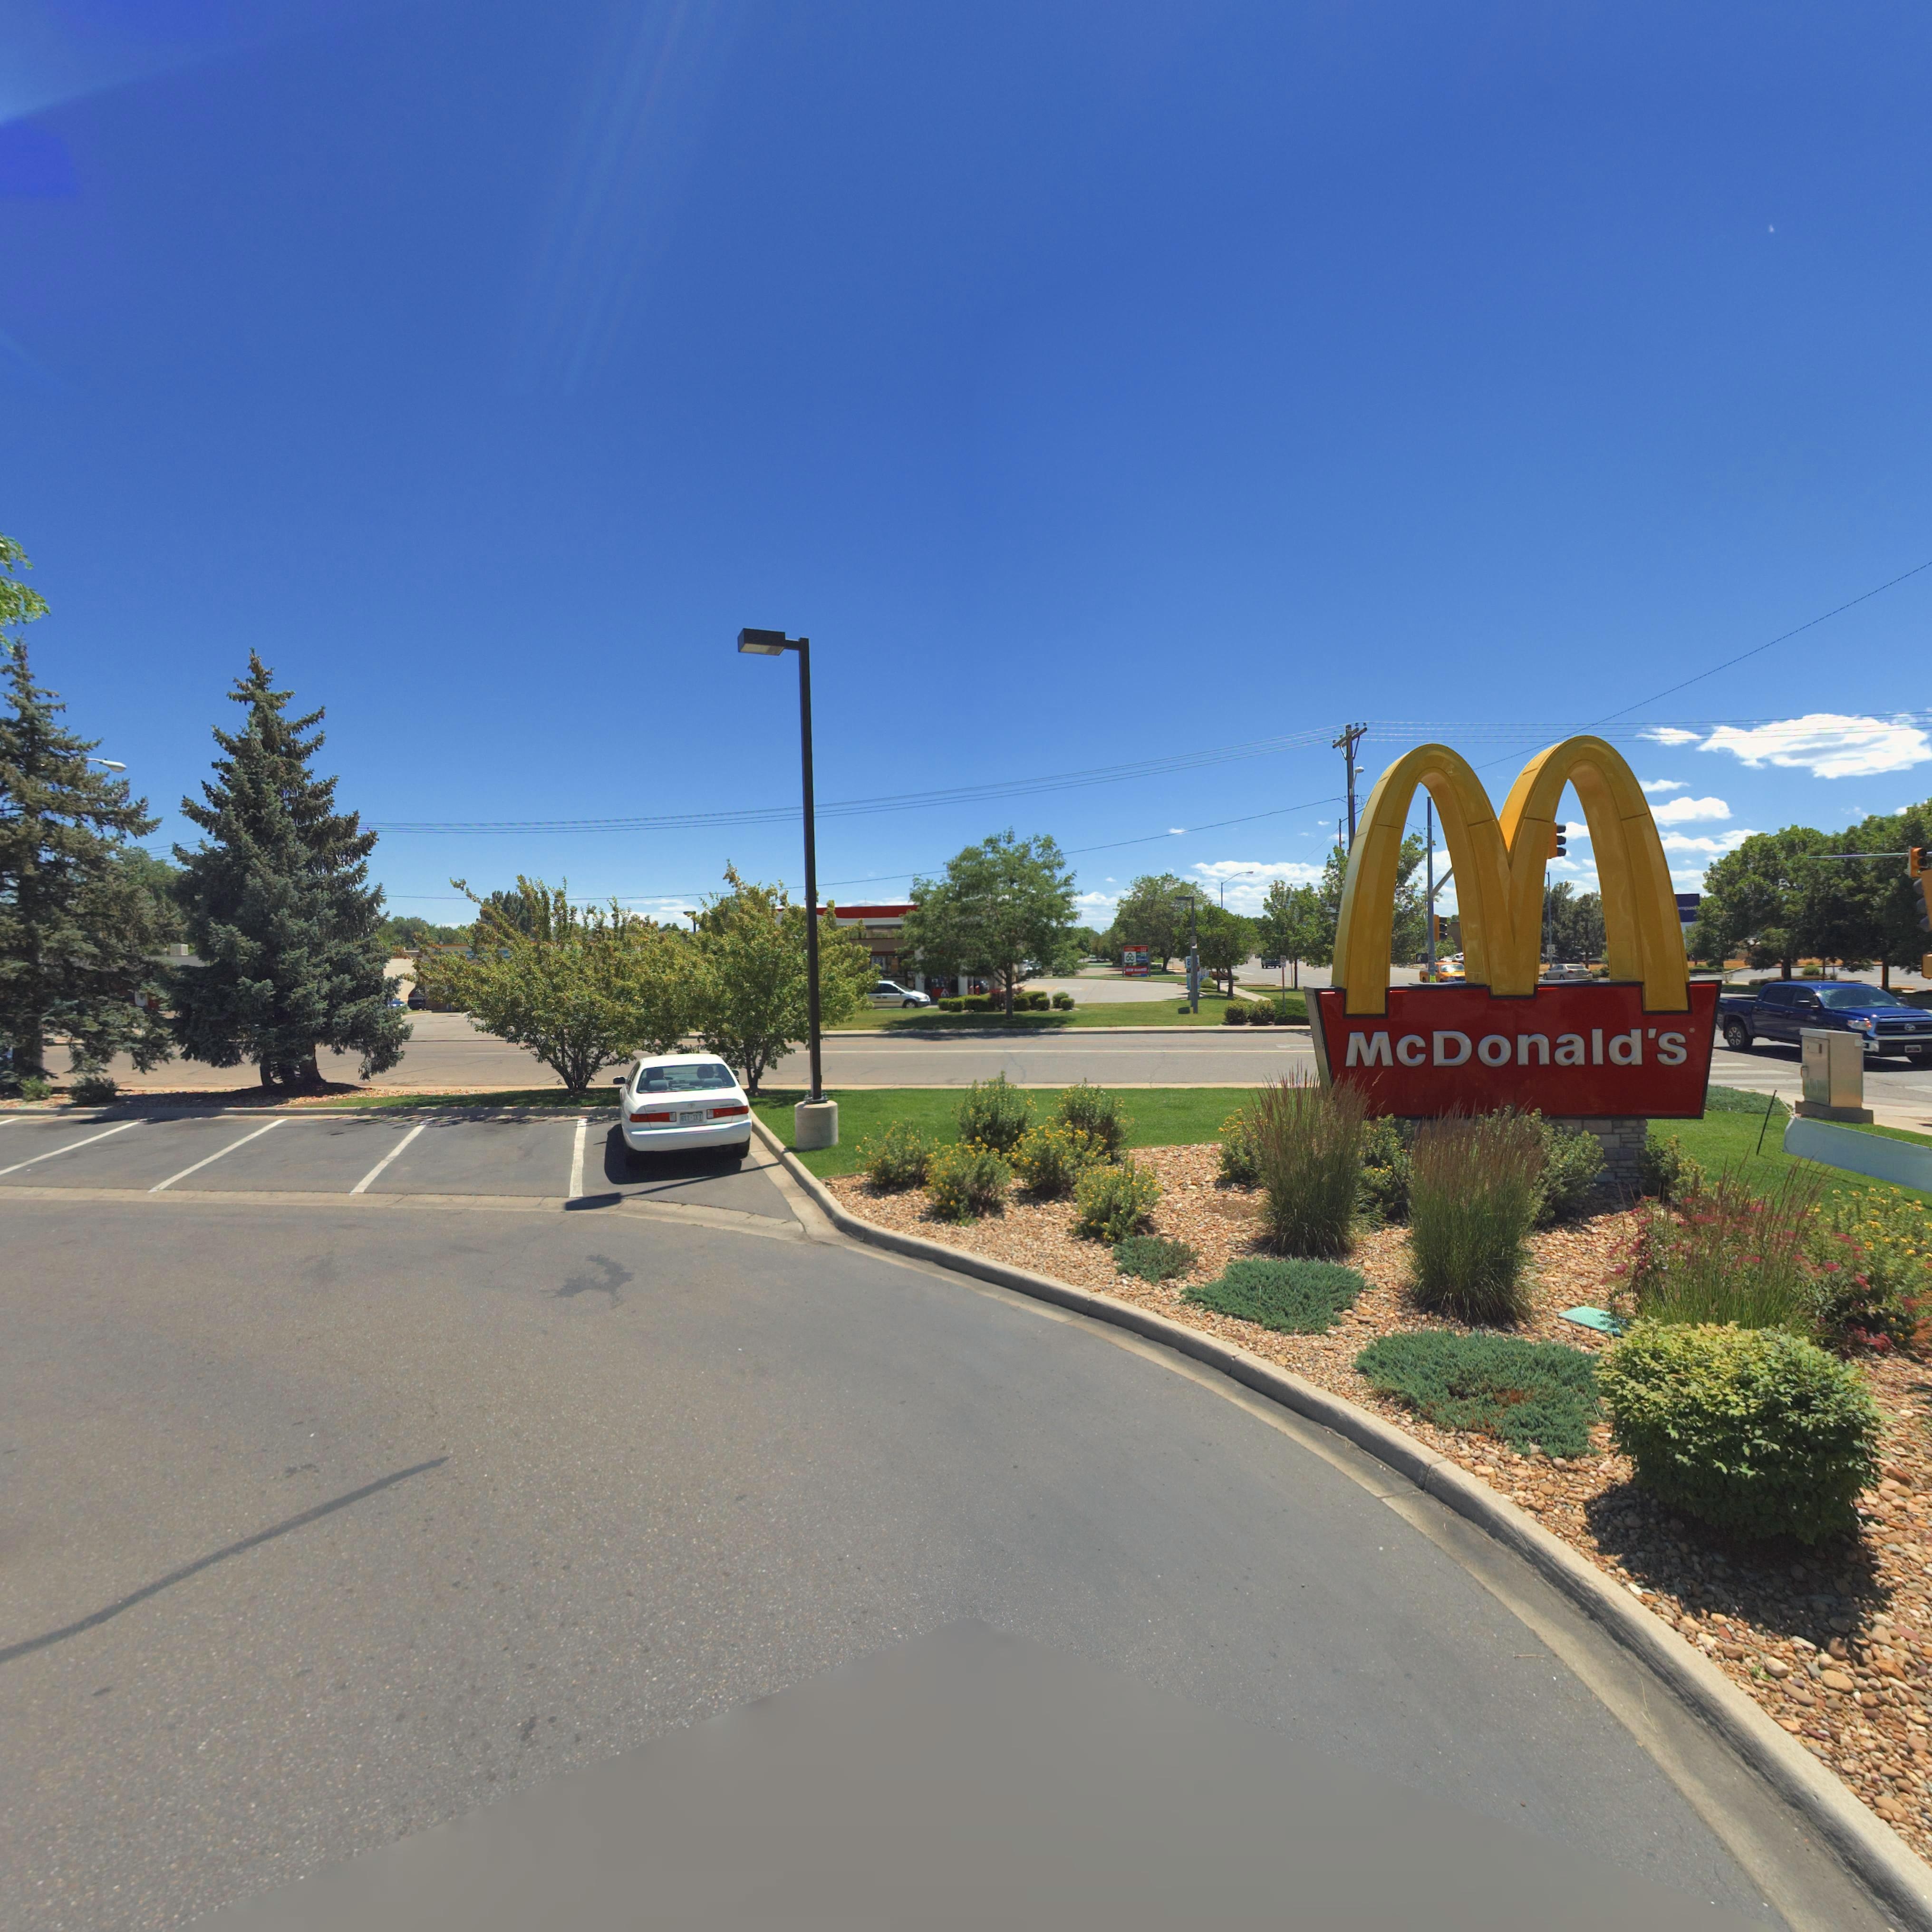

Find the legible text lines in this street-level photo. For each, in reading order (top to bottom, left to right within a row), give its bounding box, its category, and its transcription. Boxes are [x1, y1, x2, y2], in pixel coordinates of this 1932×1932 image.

[1676, 905, 1698, 912] BusinessName: *mpass
[1343, 1024, 1689, 1070] BusinessName: McDonald's